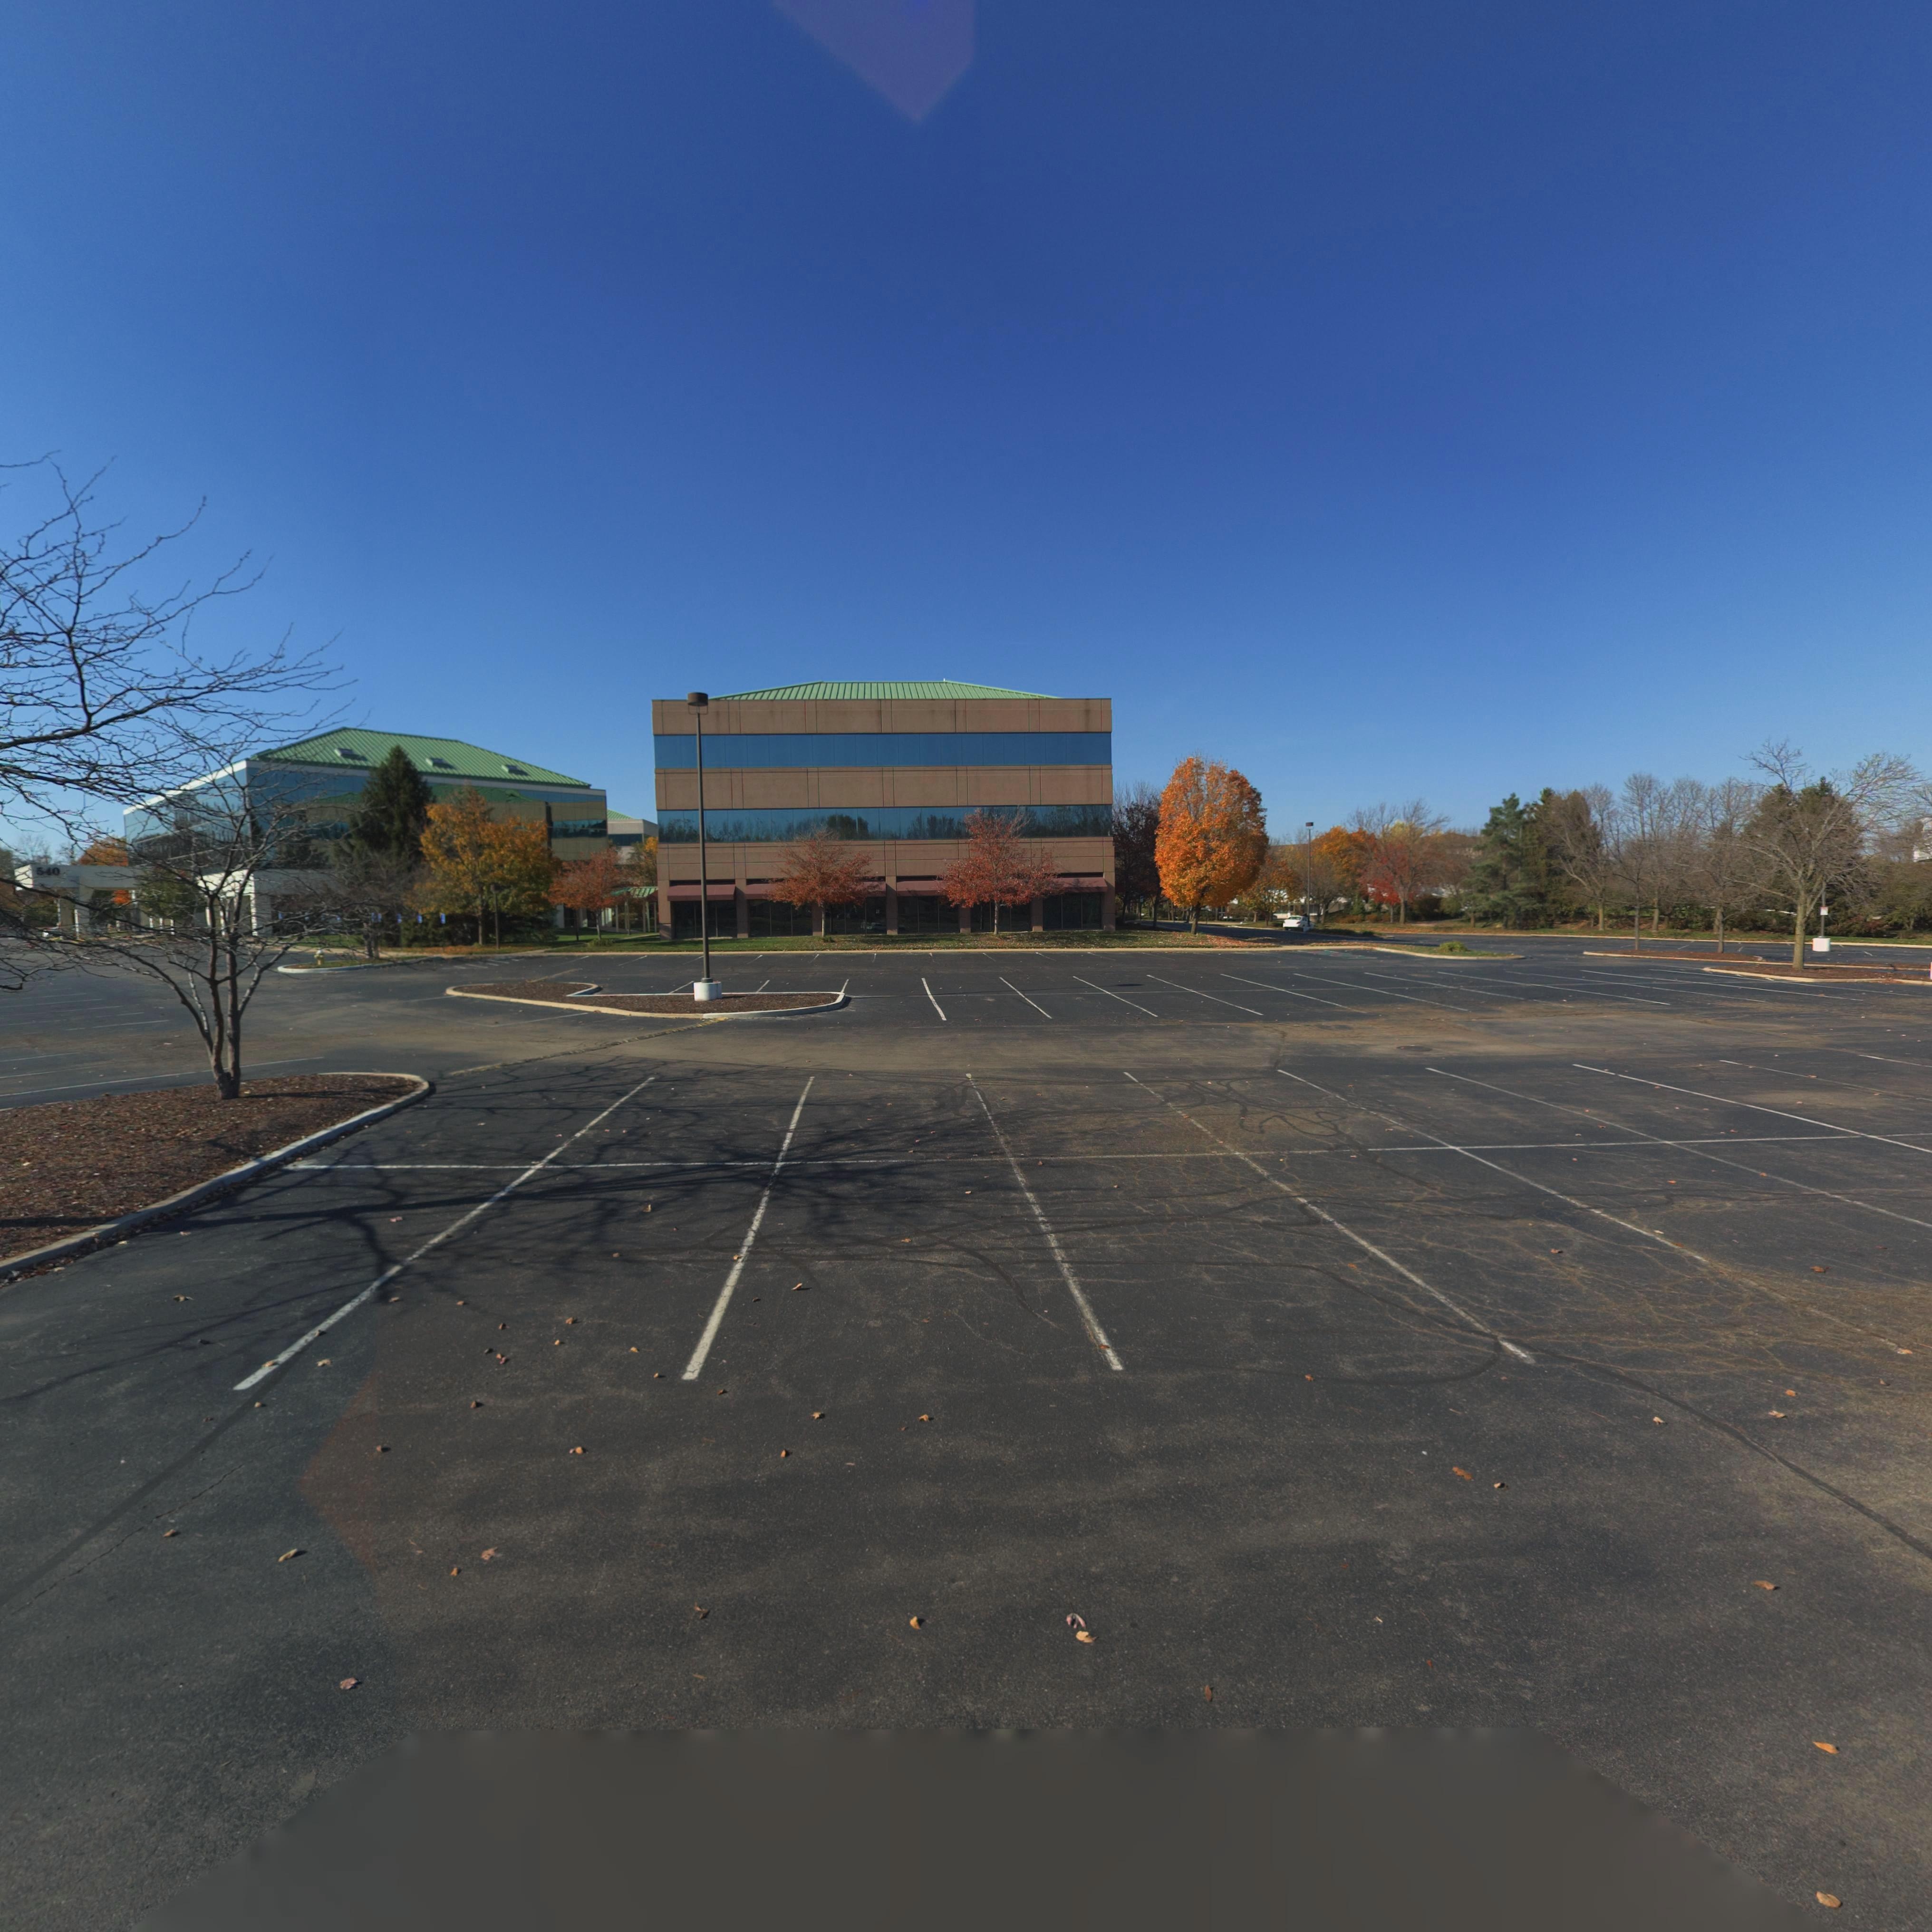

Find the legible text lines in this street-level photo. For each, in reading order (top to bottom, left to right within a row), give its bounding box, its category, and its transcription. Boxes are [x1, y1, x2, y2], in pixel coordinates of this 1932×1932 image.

[36, 867, 60, 876] StreetNumber: 540